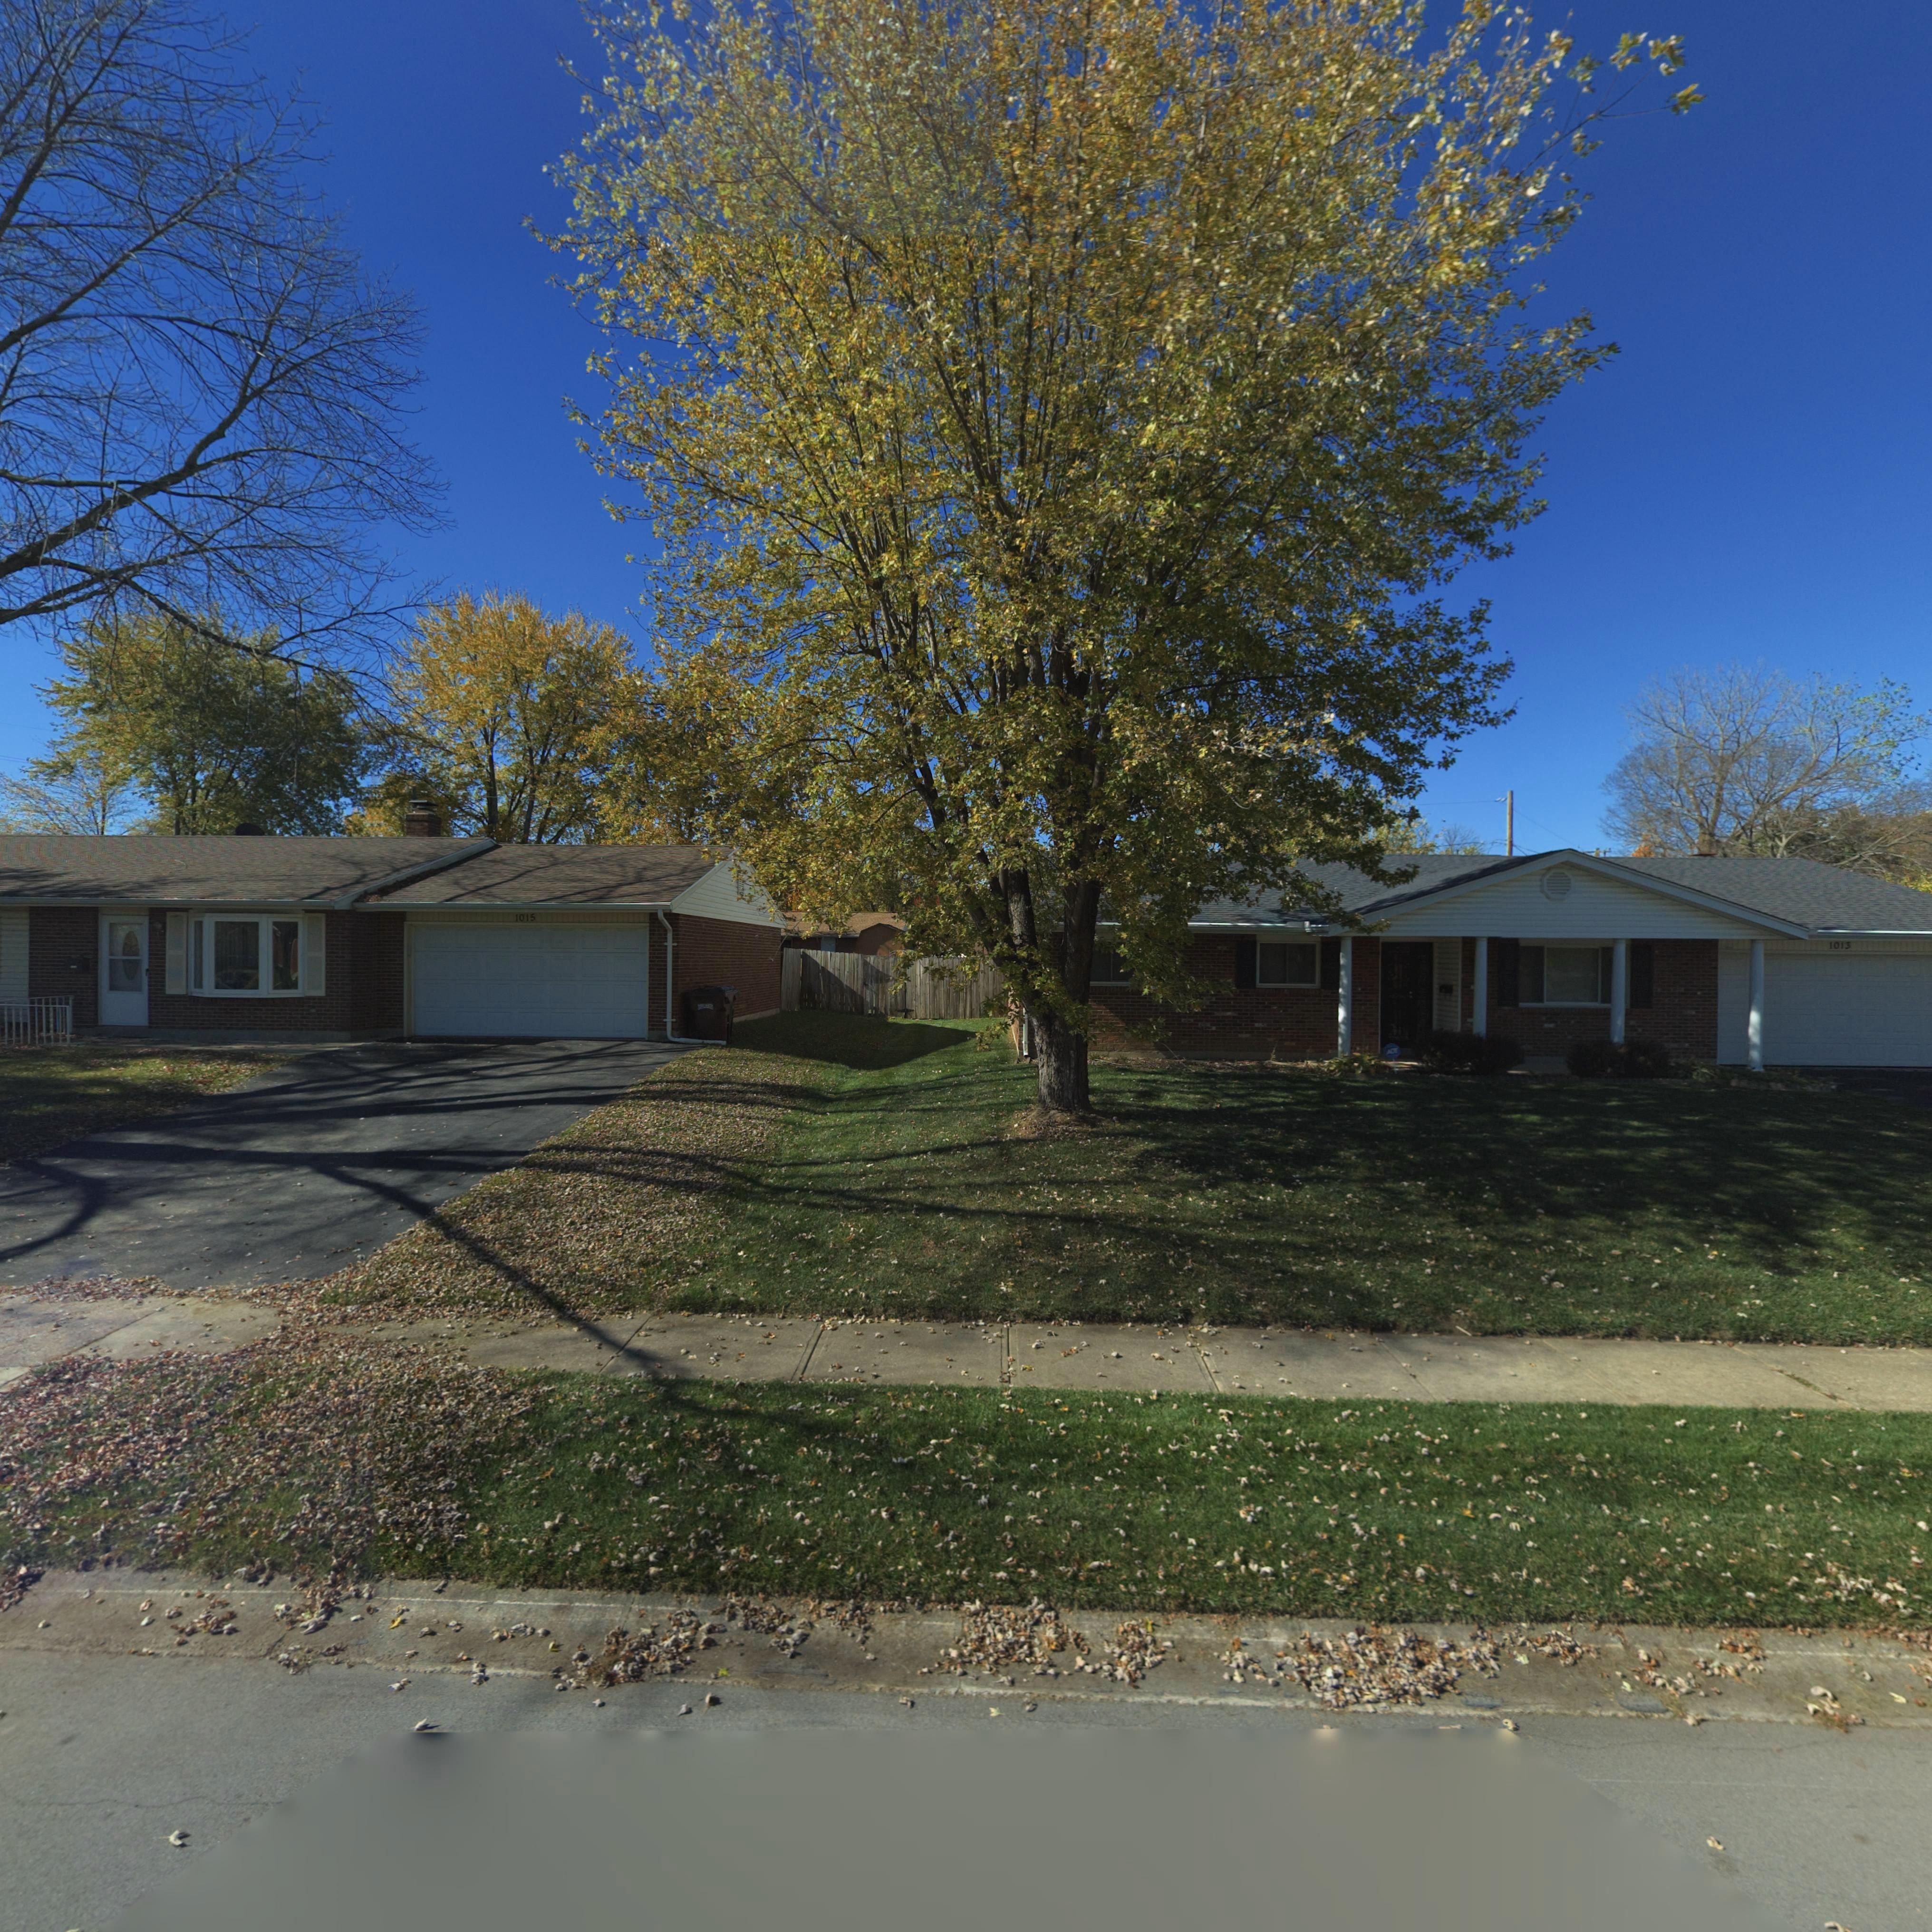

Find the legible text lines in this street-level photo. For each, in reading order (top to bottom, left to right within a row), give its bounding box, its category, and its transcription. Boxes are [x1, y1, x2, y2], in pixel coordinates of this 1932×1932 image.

[515, 913, 536, 922] StreetNumber: 1015
[1828, 940, 1851, 950] StreetNumber: 1013